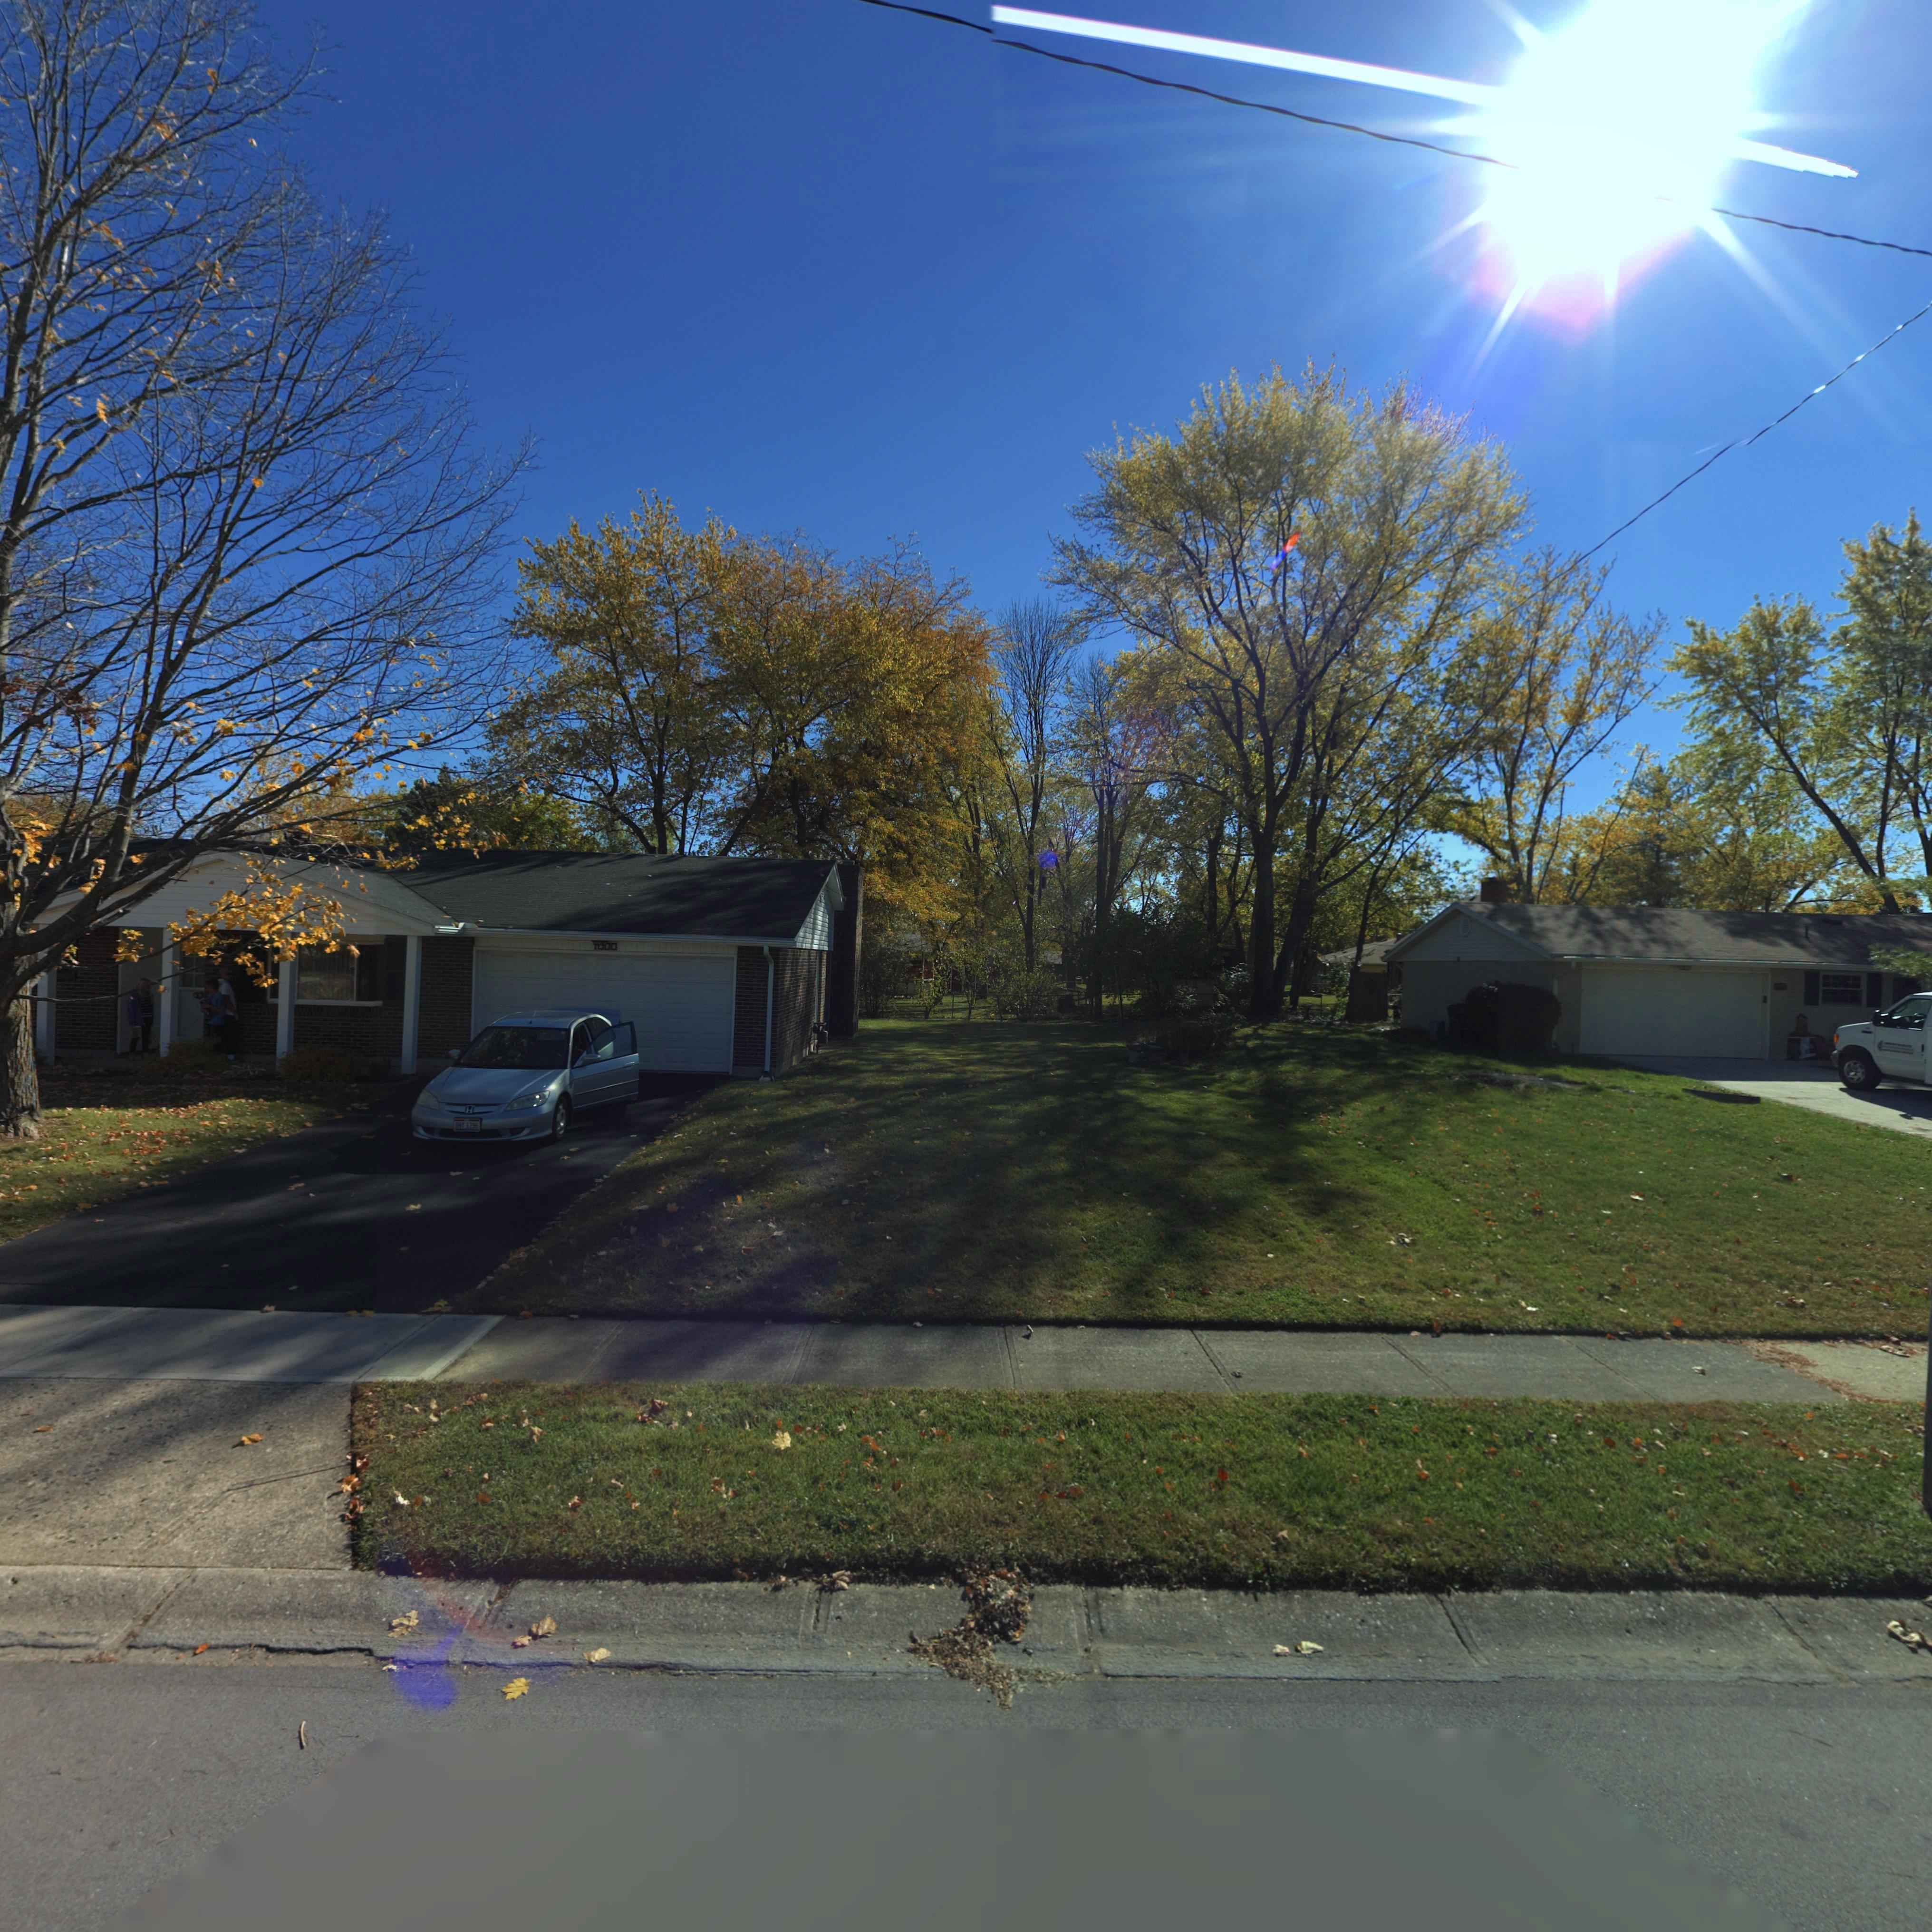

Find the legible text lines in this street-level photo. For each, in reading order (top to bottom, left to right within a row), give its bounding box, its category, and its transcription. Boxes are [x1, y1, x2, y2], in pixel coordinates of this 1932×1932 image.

[593, 942, 618, 951] StreetNumber: **00